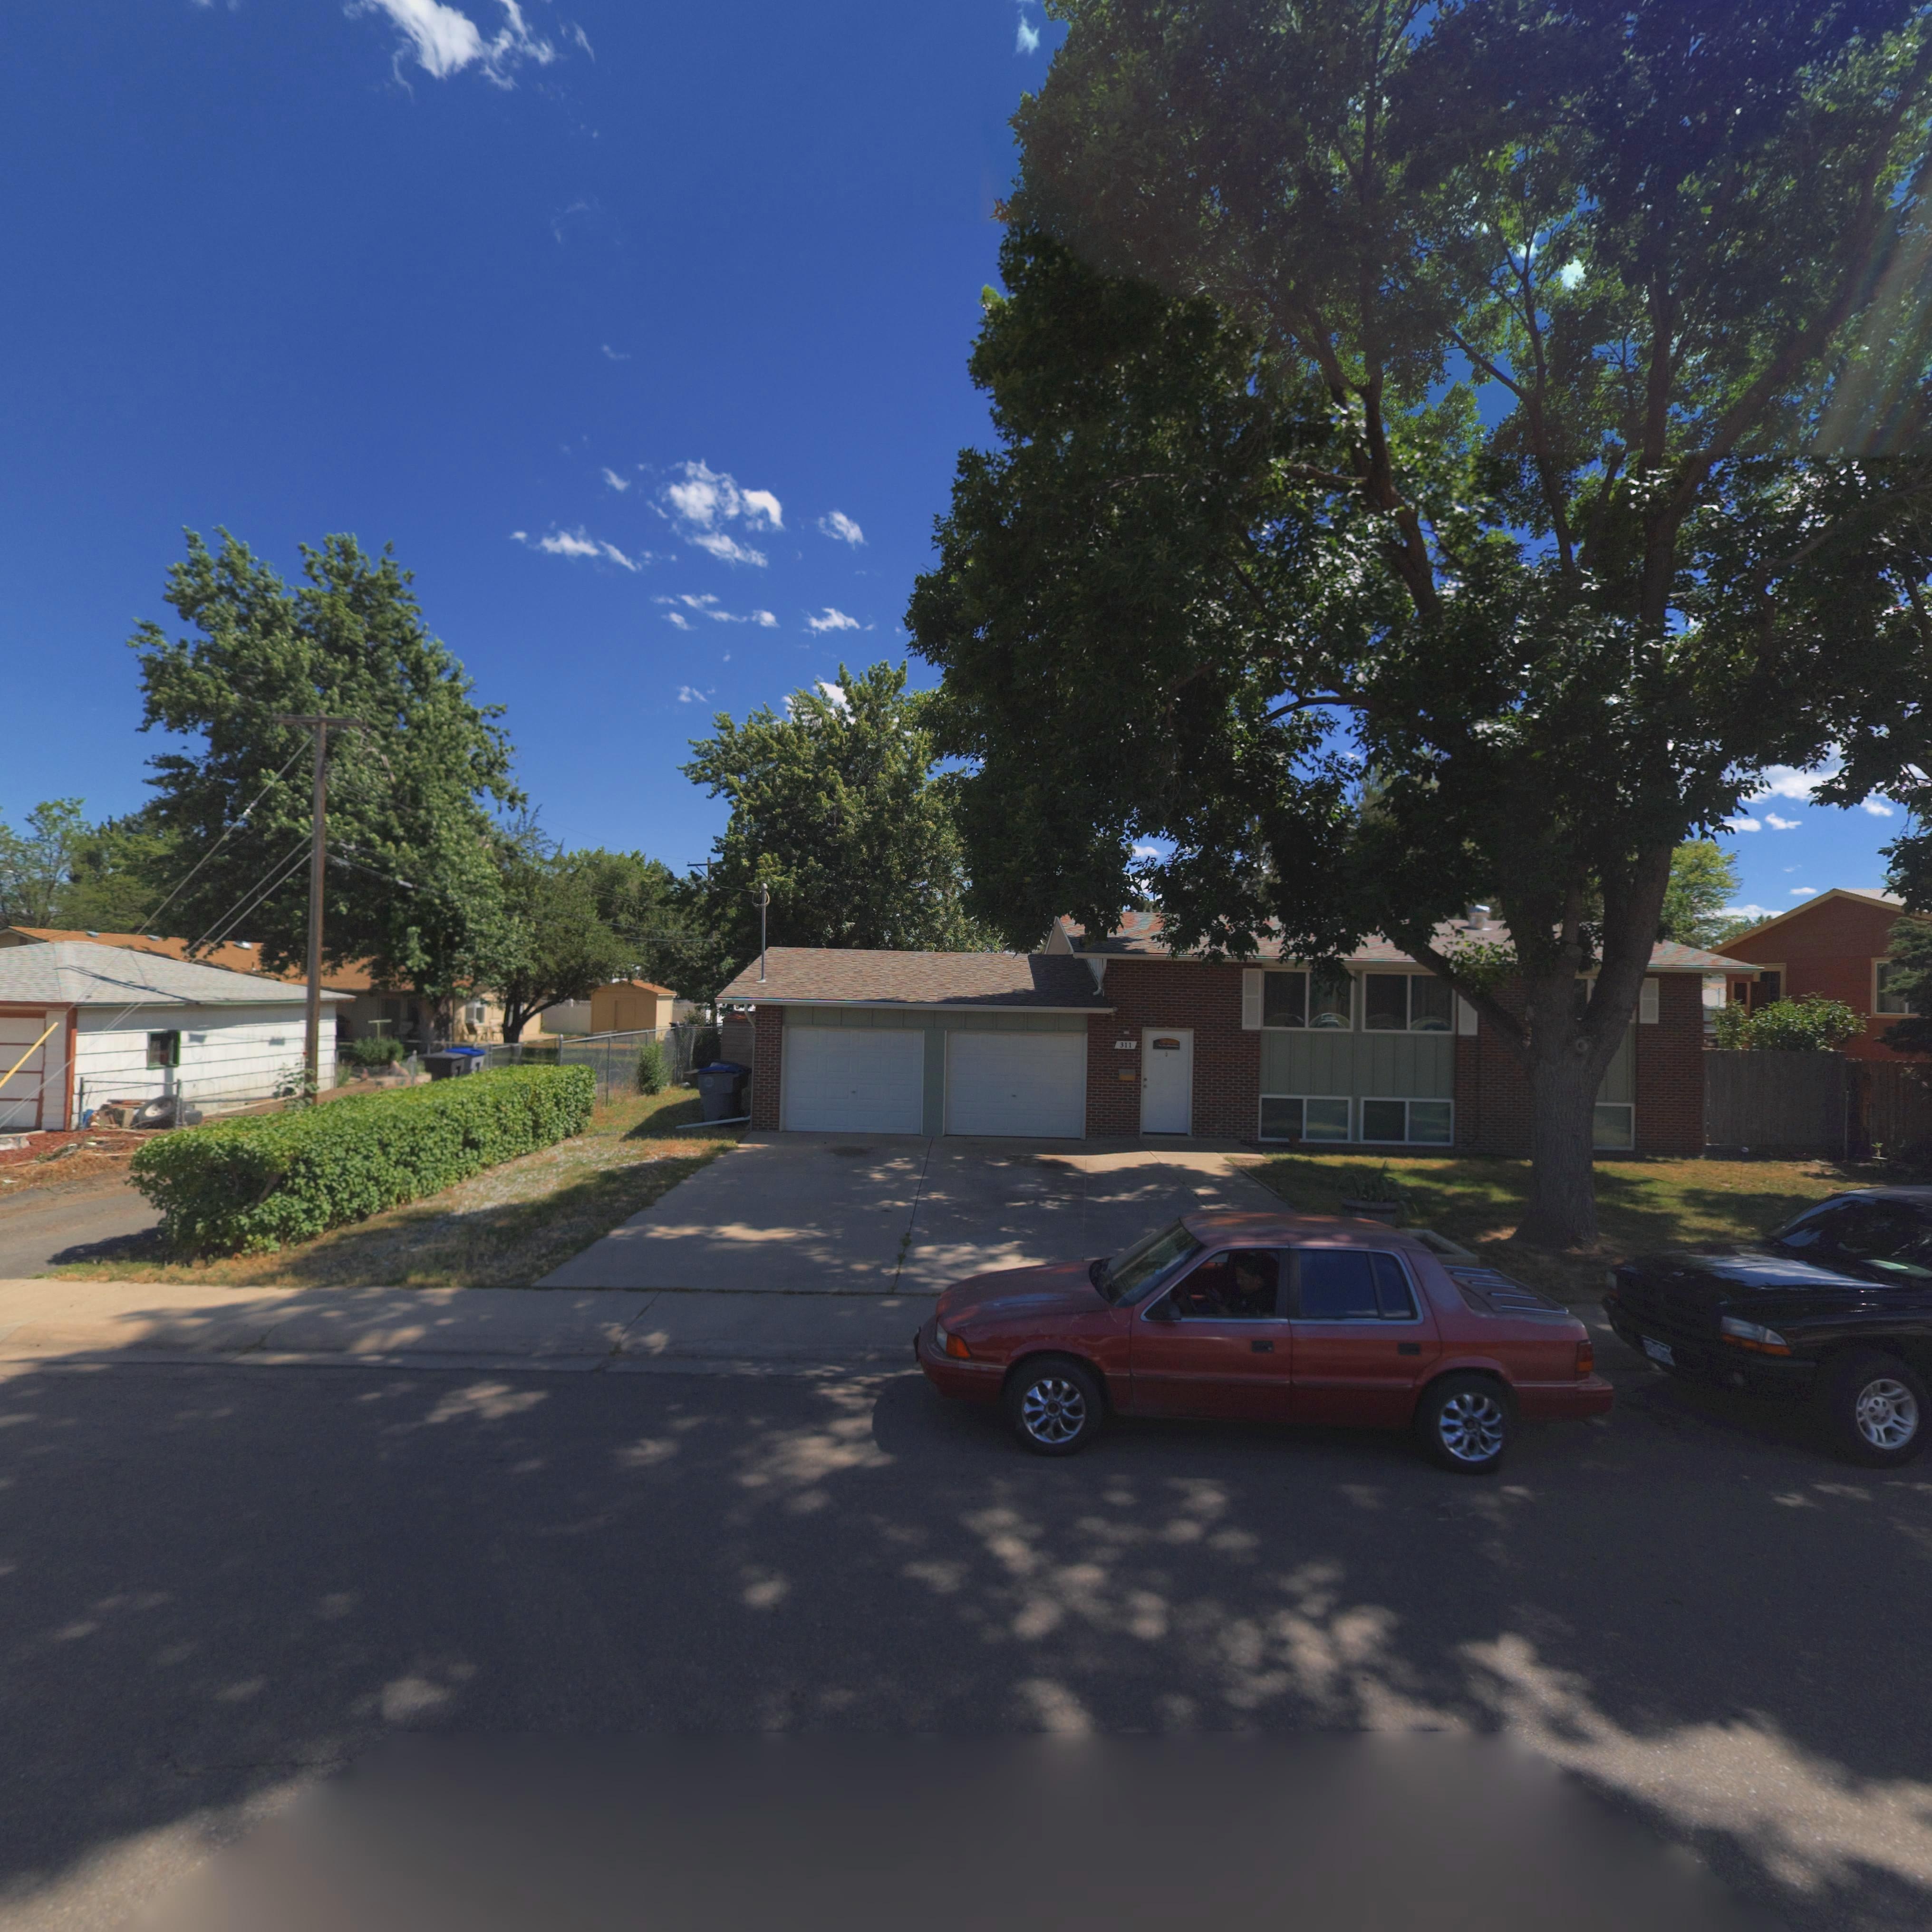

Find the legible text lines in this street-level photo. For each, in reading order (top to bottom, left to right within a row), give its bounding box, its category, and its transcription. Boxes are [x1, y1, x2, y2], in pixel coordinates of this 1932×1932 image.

[1120, 1042, 1131, 1048] StreetNumber: 311